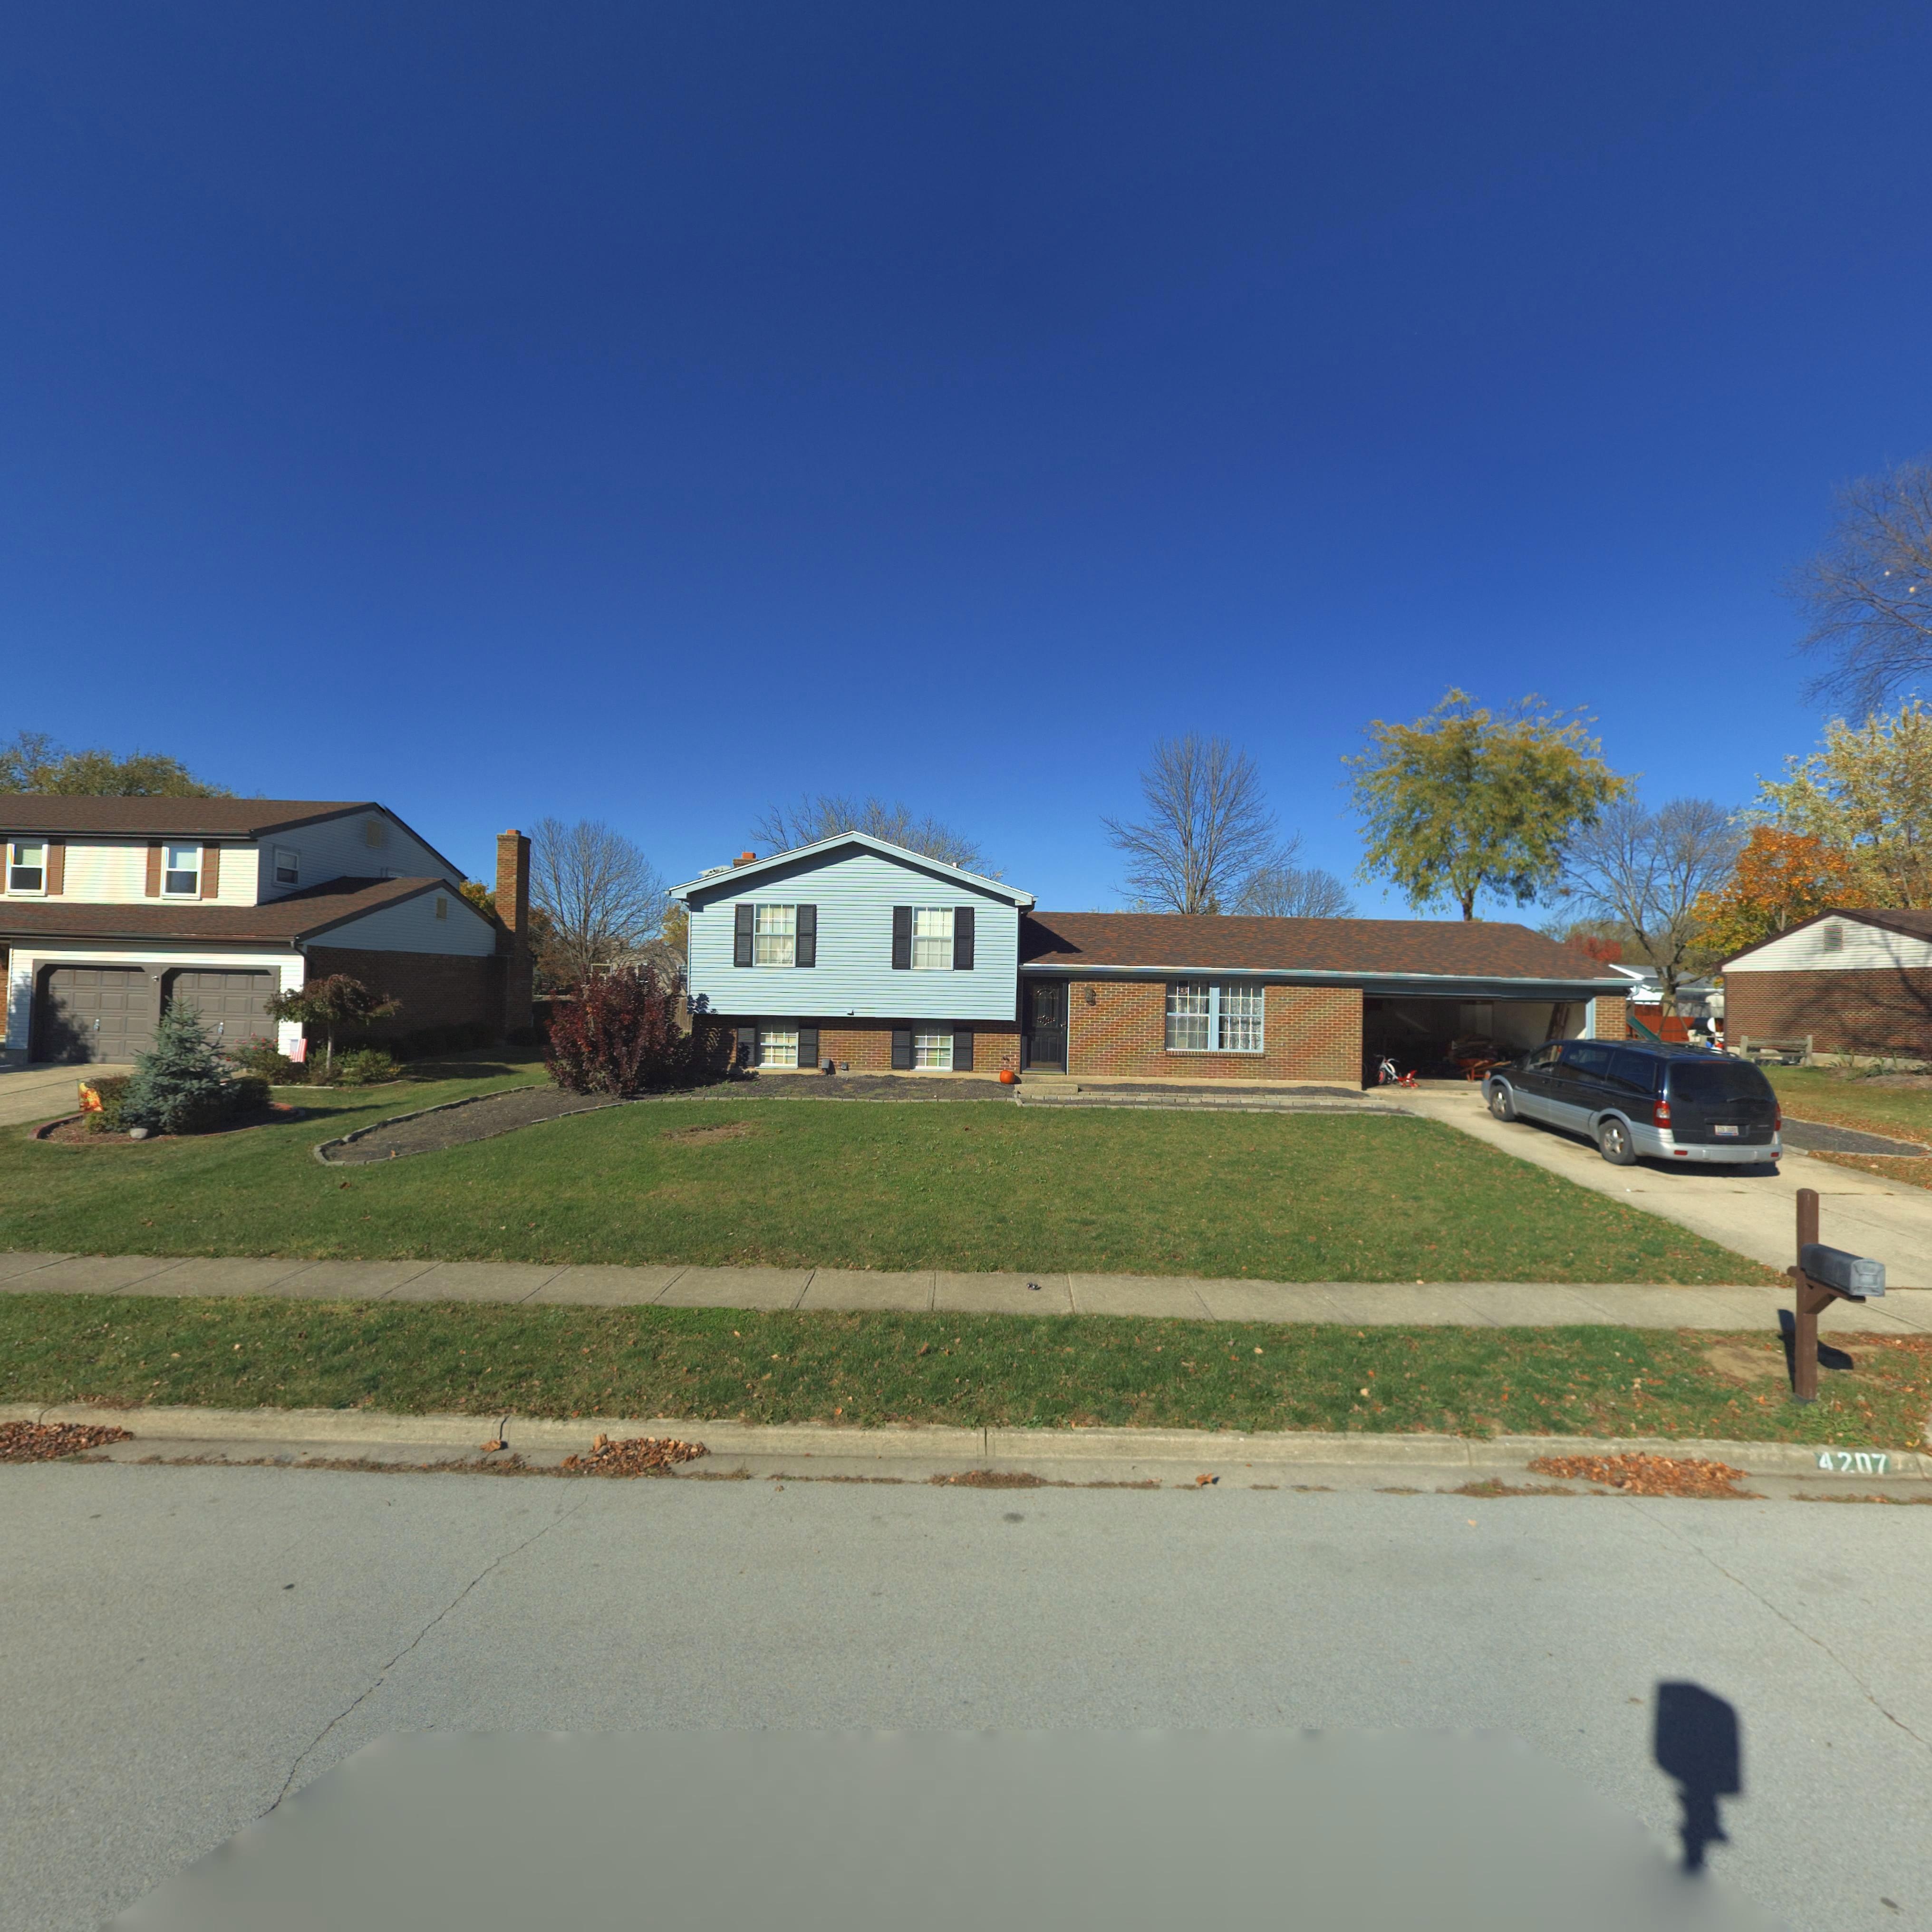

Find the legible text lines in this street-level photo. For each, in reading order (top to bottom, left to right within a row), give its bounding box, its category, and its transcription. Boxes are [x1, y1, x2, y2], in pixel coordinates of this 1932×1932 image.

[1815, 1449, 1889, 1476] StreetNumber: 4207